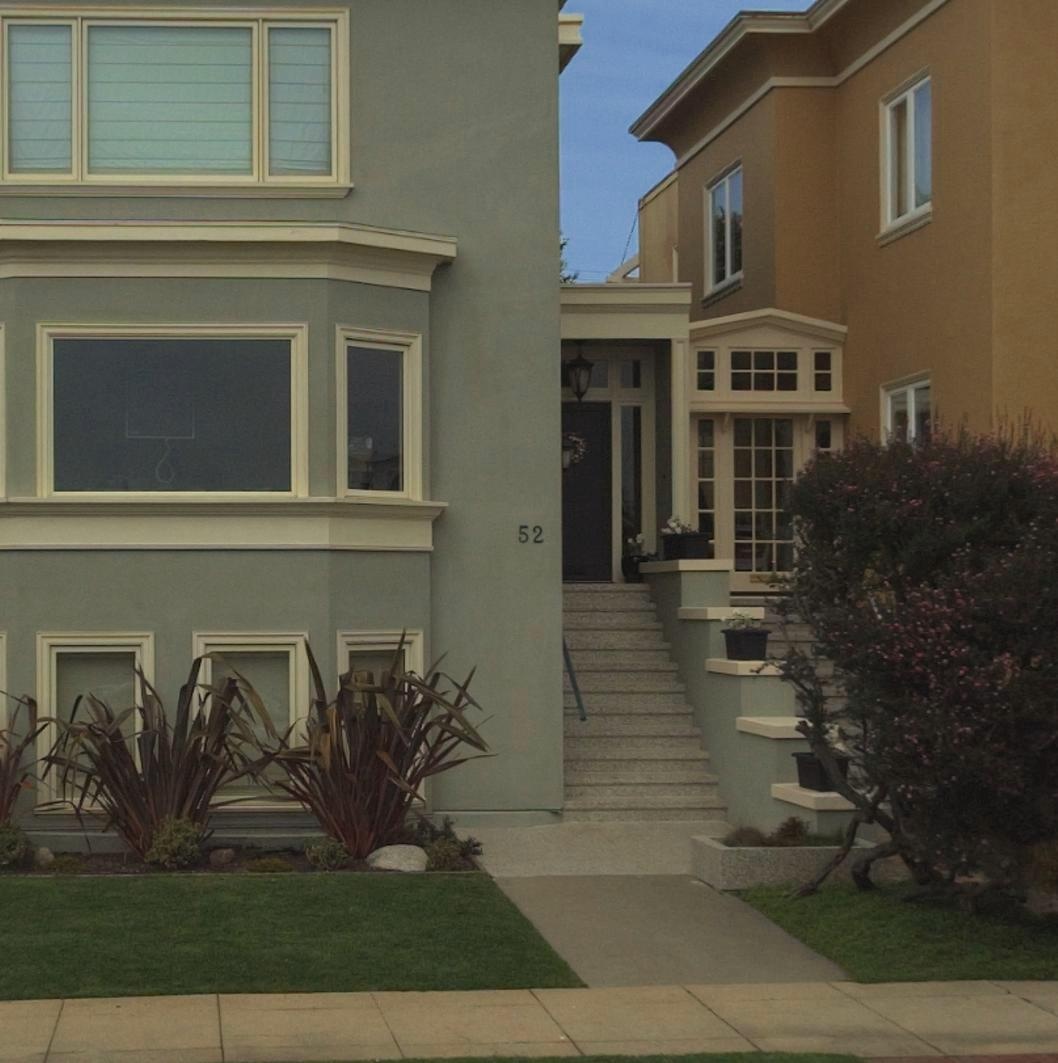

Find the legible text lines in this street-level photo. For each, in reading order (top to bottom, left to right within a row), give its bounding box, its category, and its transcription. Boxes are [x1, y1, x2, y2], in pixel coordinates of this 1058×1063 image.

[518, 524, 543, 544] StreetNumber: 52